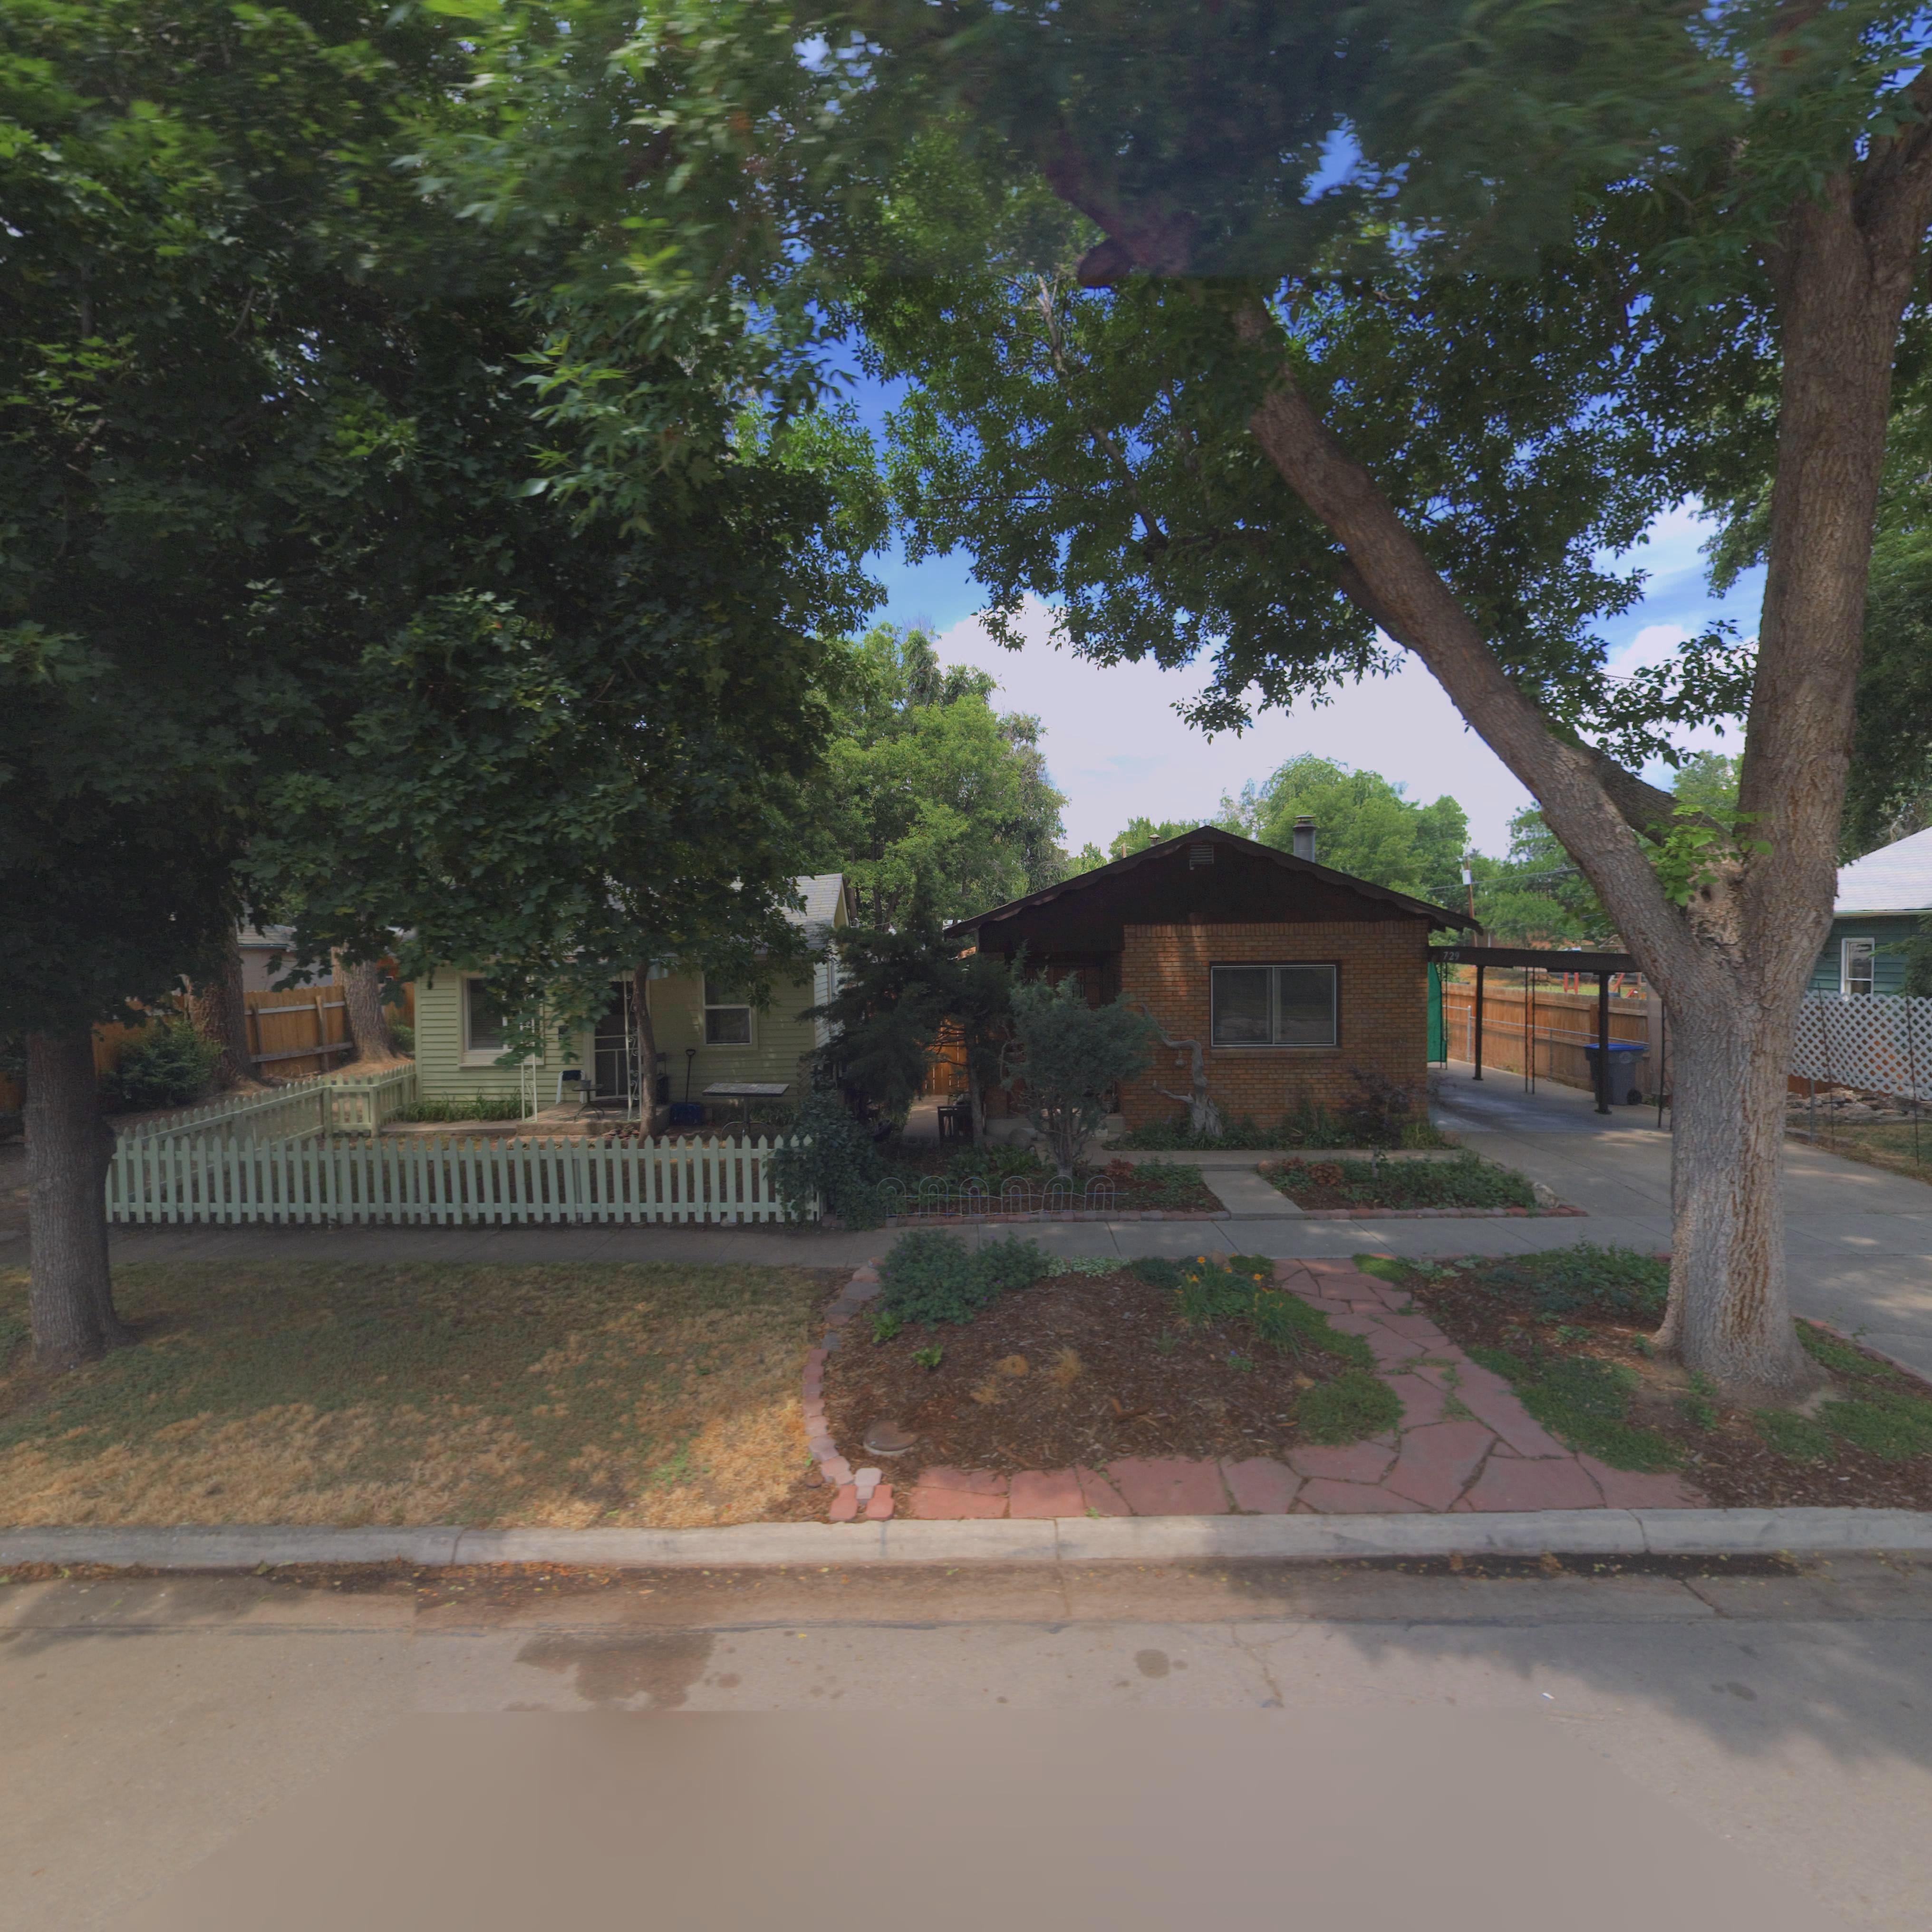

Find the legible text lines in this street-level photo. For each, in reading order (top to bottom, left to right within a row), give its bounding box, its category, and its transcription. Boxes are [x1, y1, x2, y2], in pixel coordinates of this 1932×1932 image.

[1442, 951, 1460, 961] StreetNumber: 729